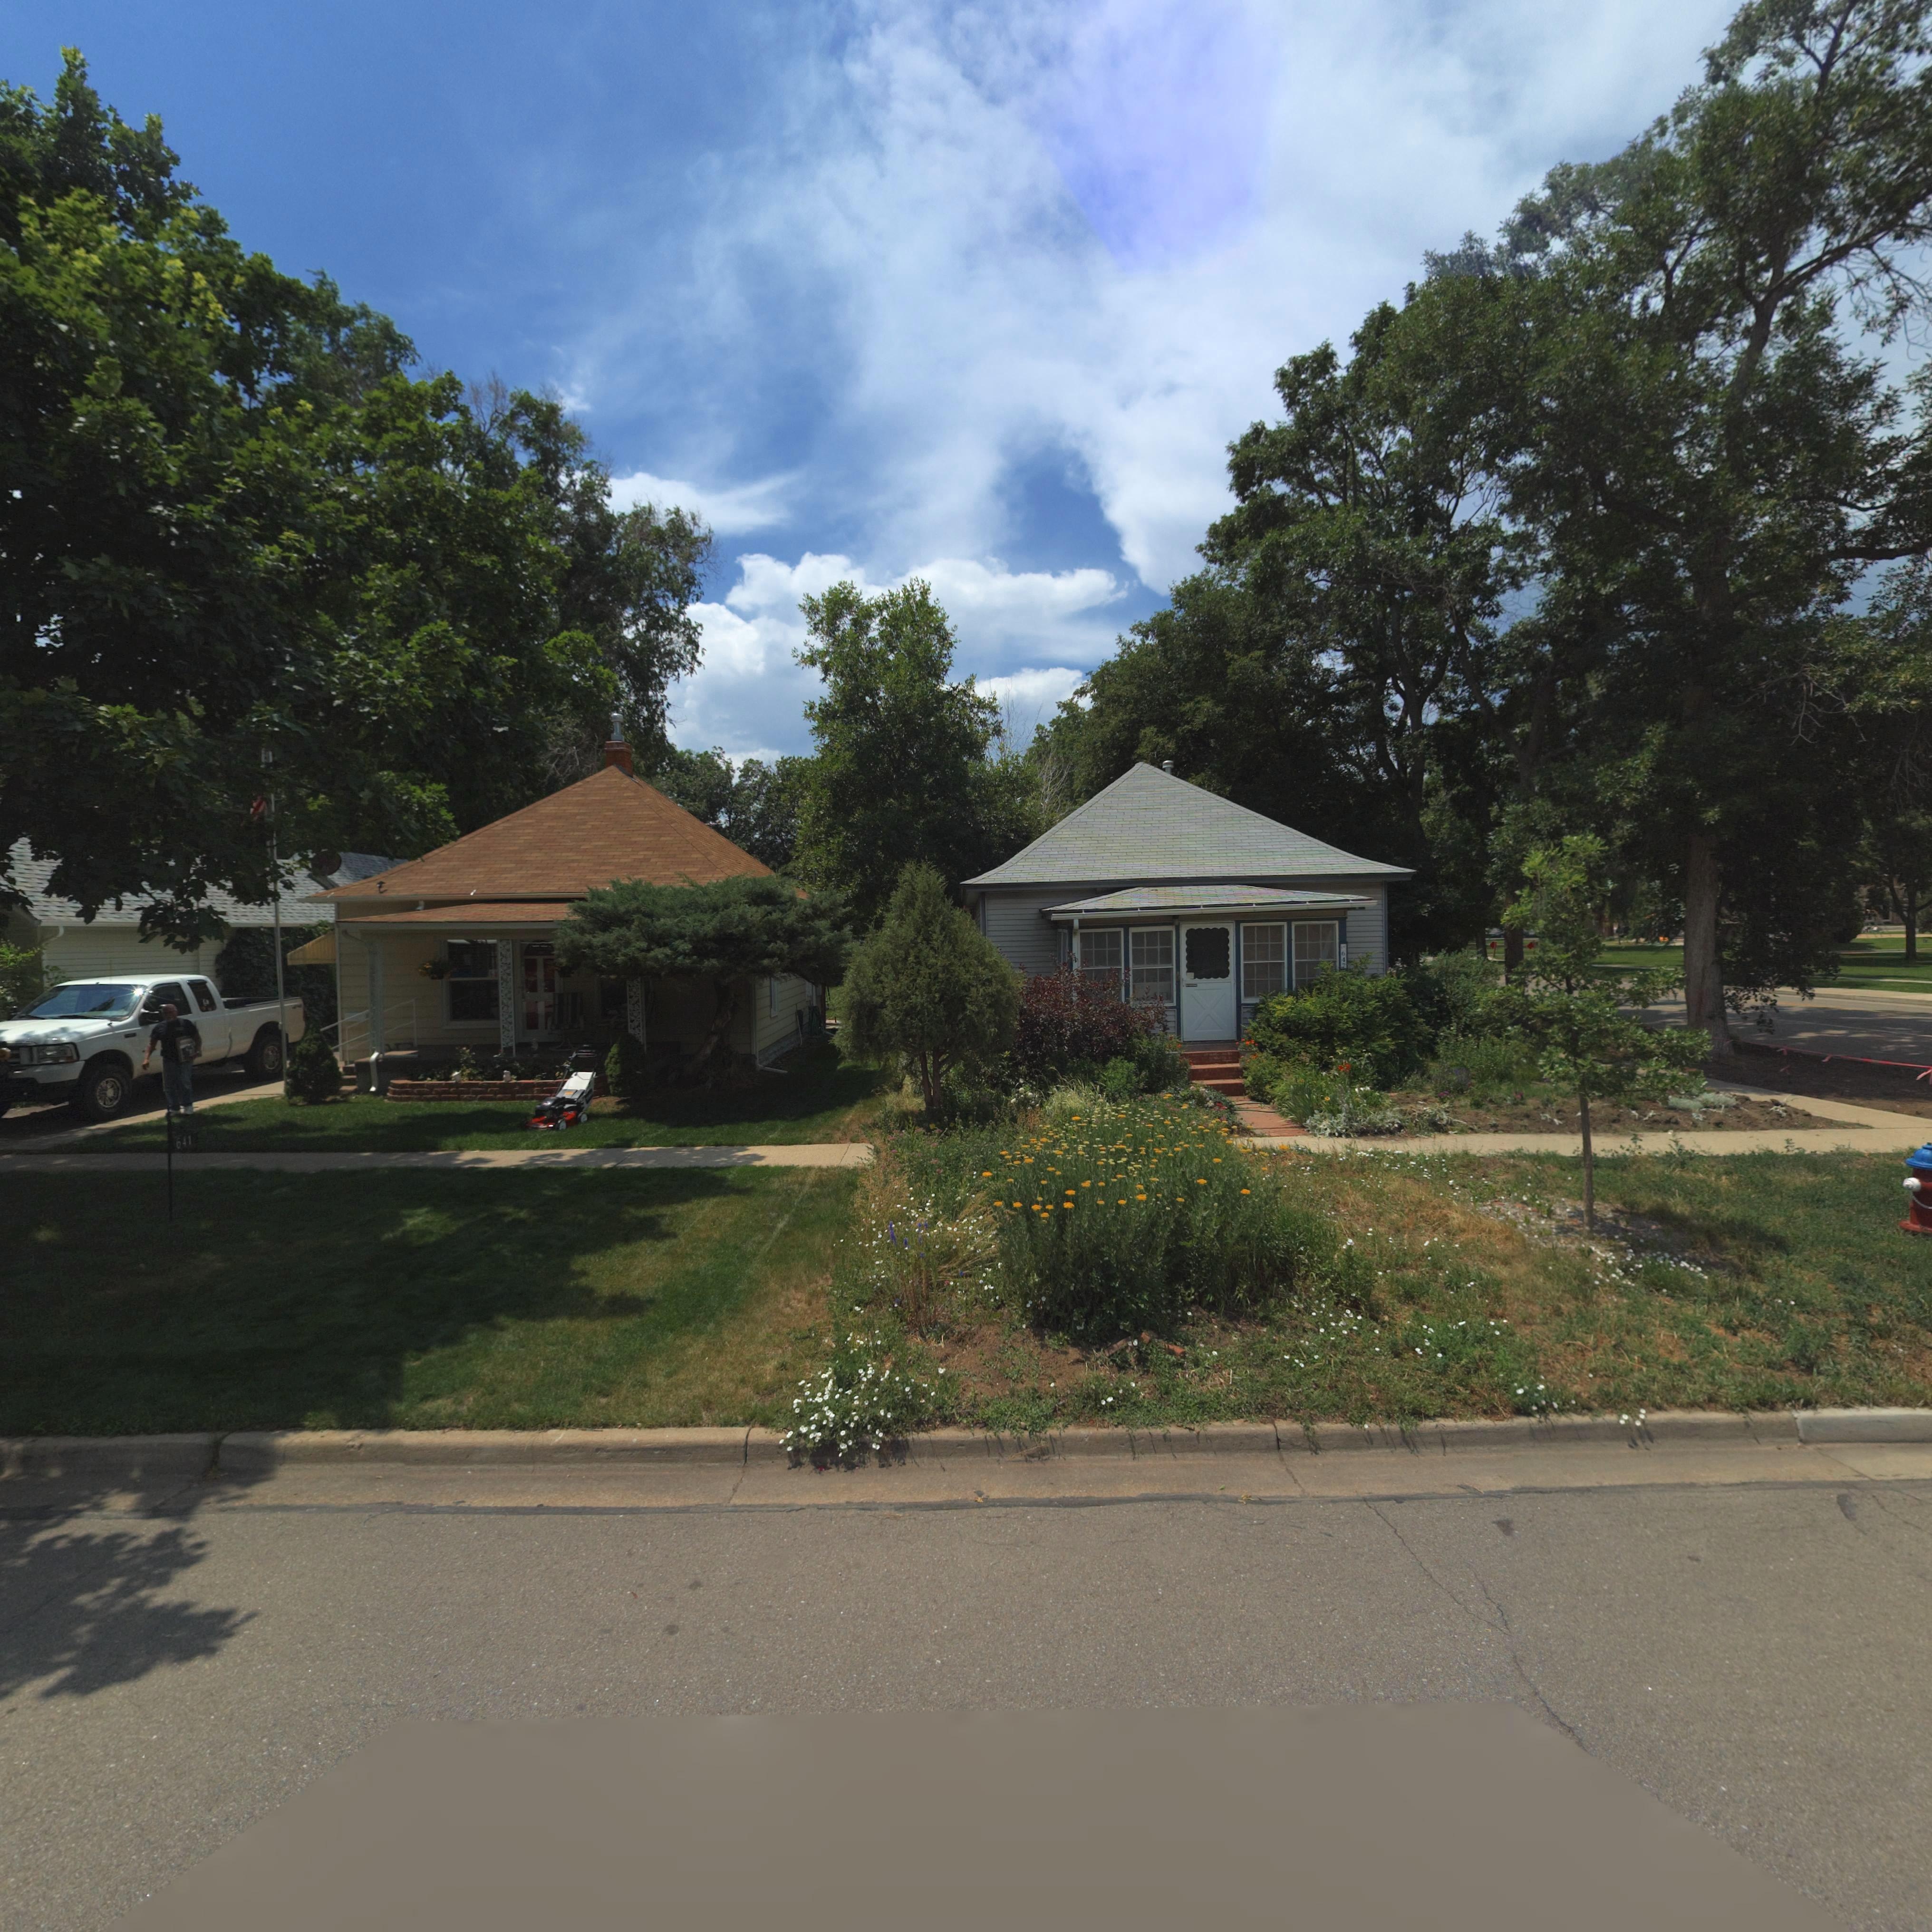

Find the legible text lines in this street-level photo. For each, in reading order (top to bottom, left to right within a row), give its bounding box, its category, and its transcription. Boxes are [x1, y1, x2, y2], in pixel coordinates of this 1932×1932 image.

[1341, 949, 1346, 969] StreetNumber: 647
[175, 1134, 192, 1150] StreetNumber: 641